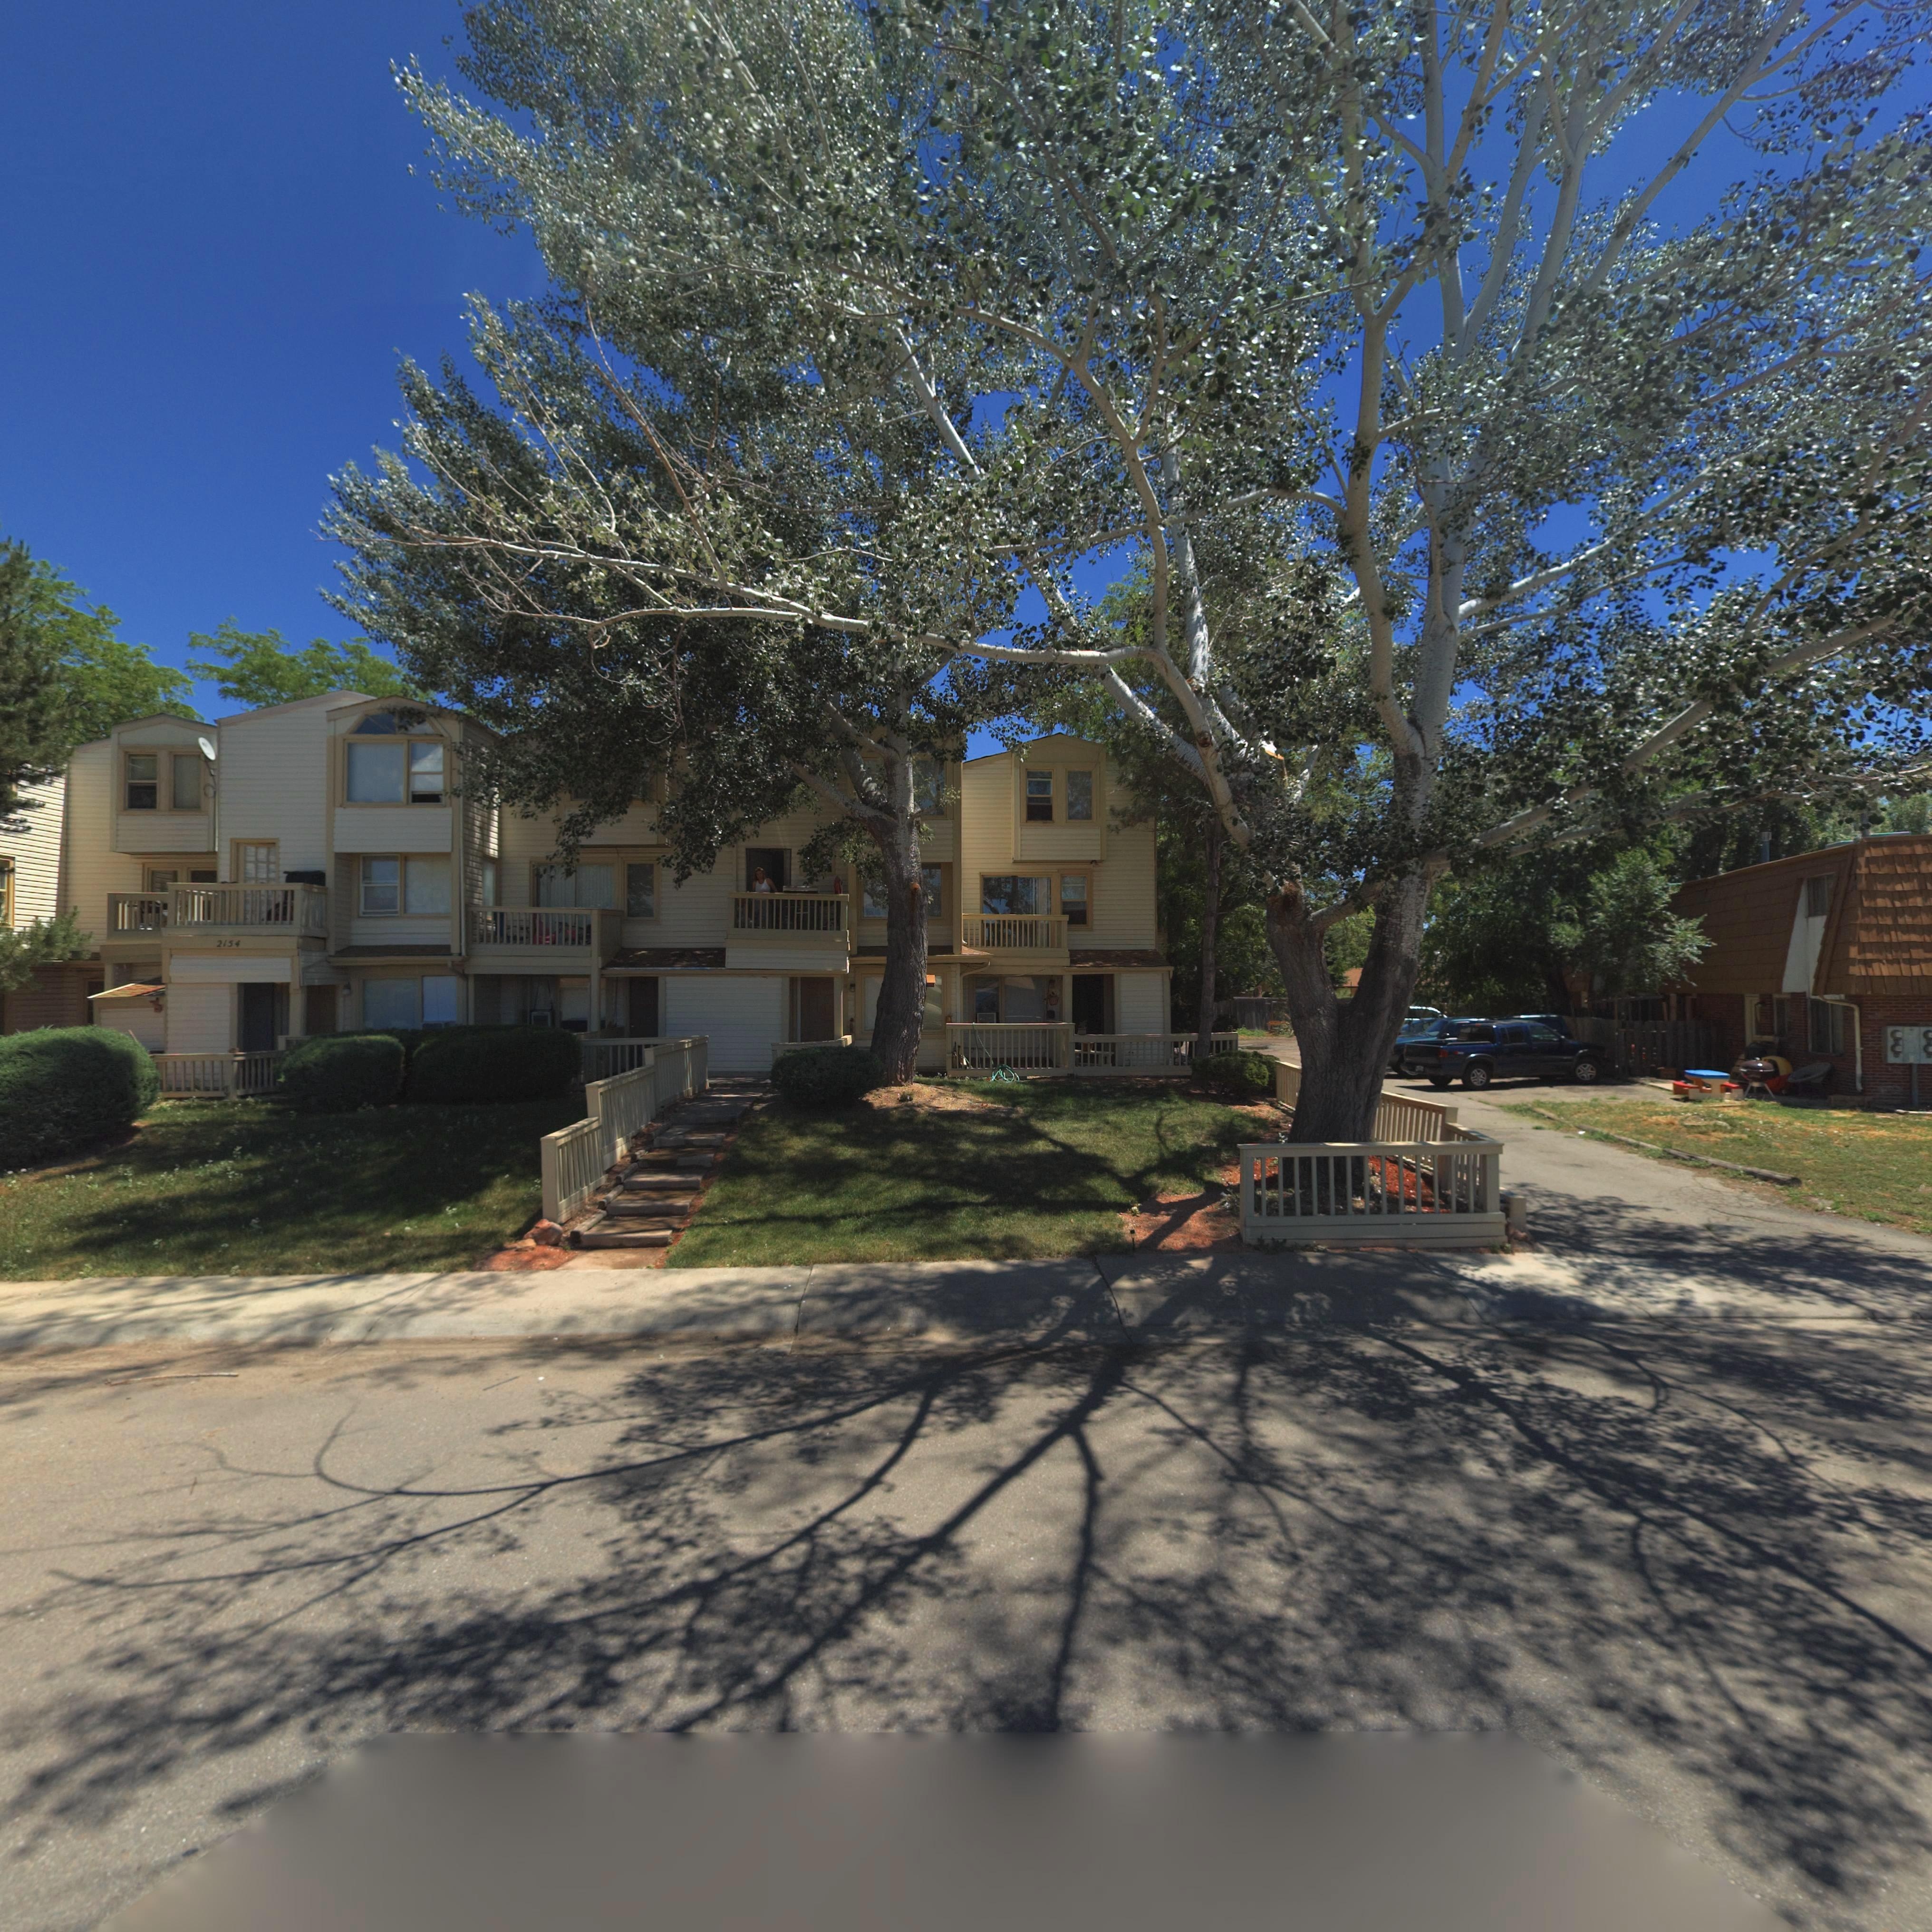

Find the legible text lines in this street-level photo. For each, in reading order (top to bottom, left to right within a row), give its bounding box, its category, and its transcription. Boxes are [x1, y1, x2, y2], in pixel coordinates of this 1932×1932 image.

[216, 939, 241, 947] StreetNumber: 2154